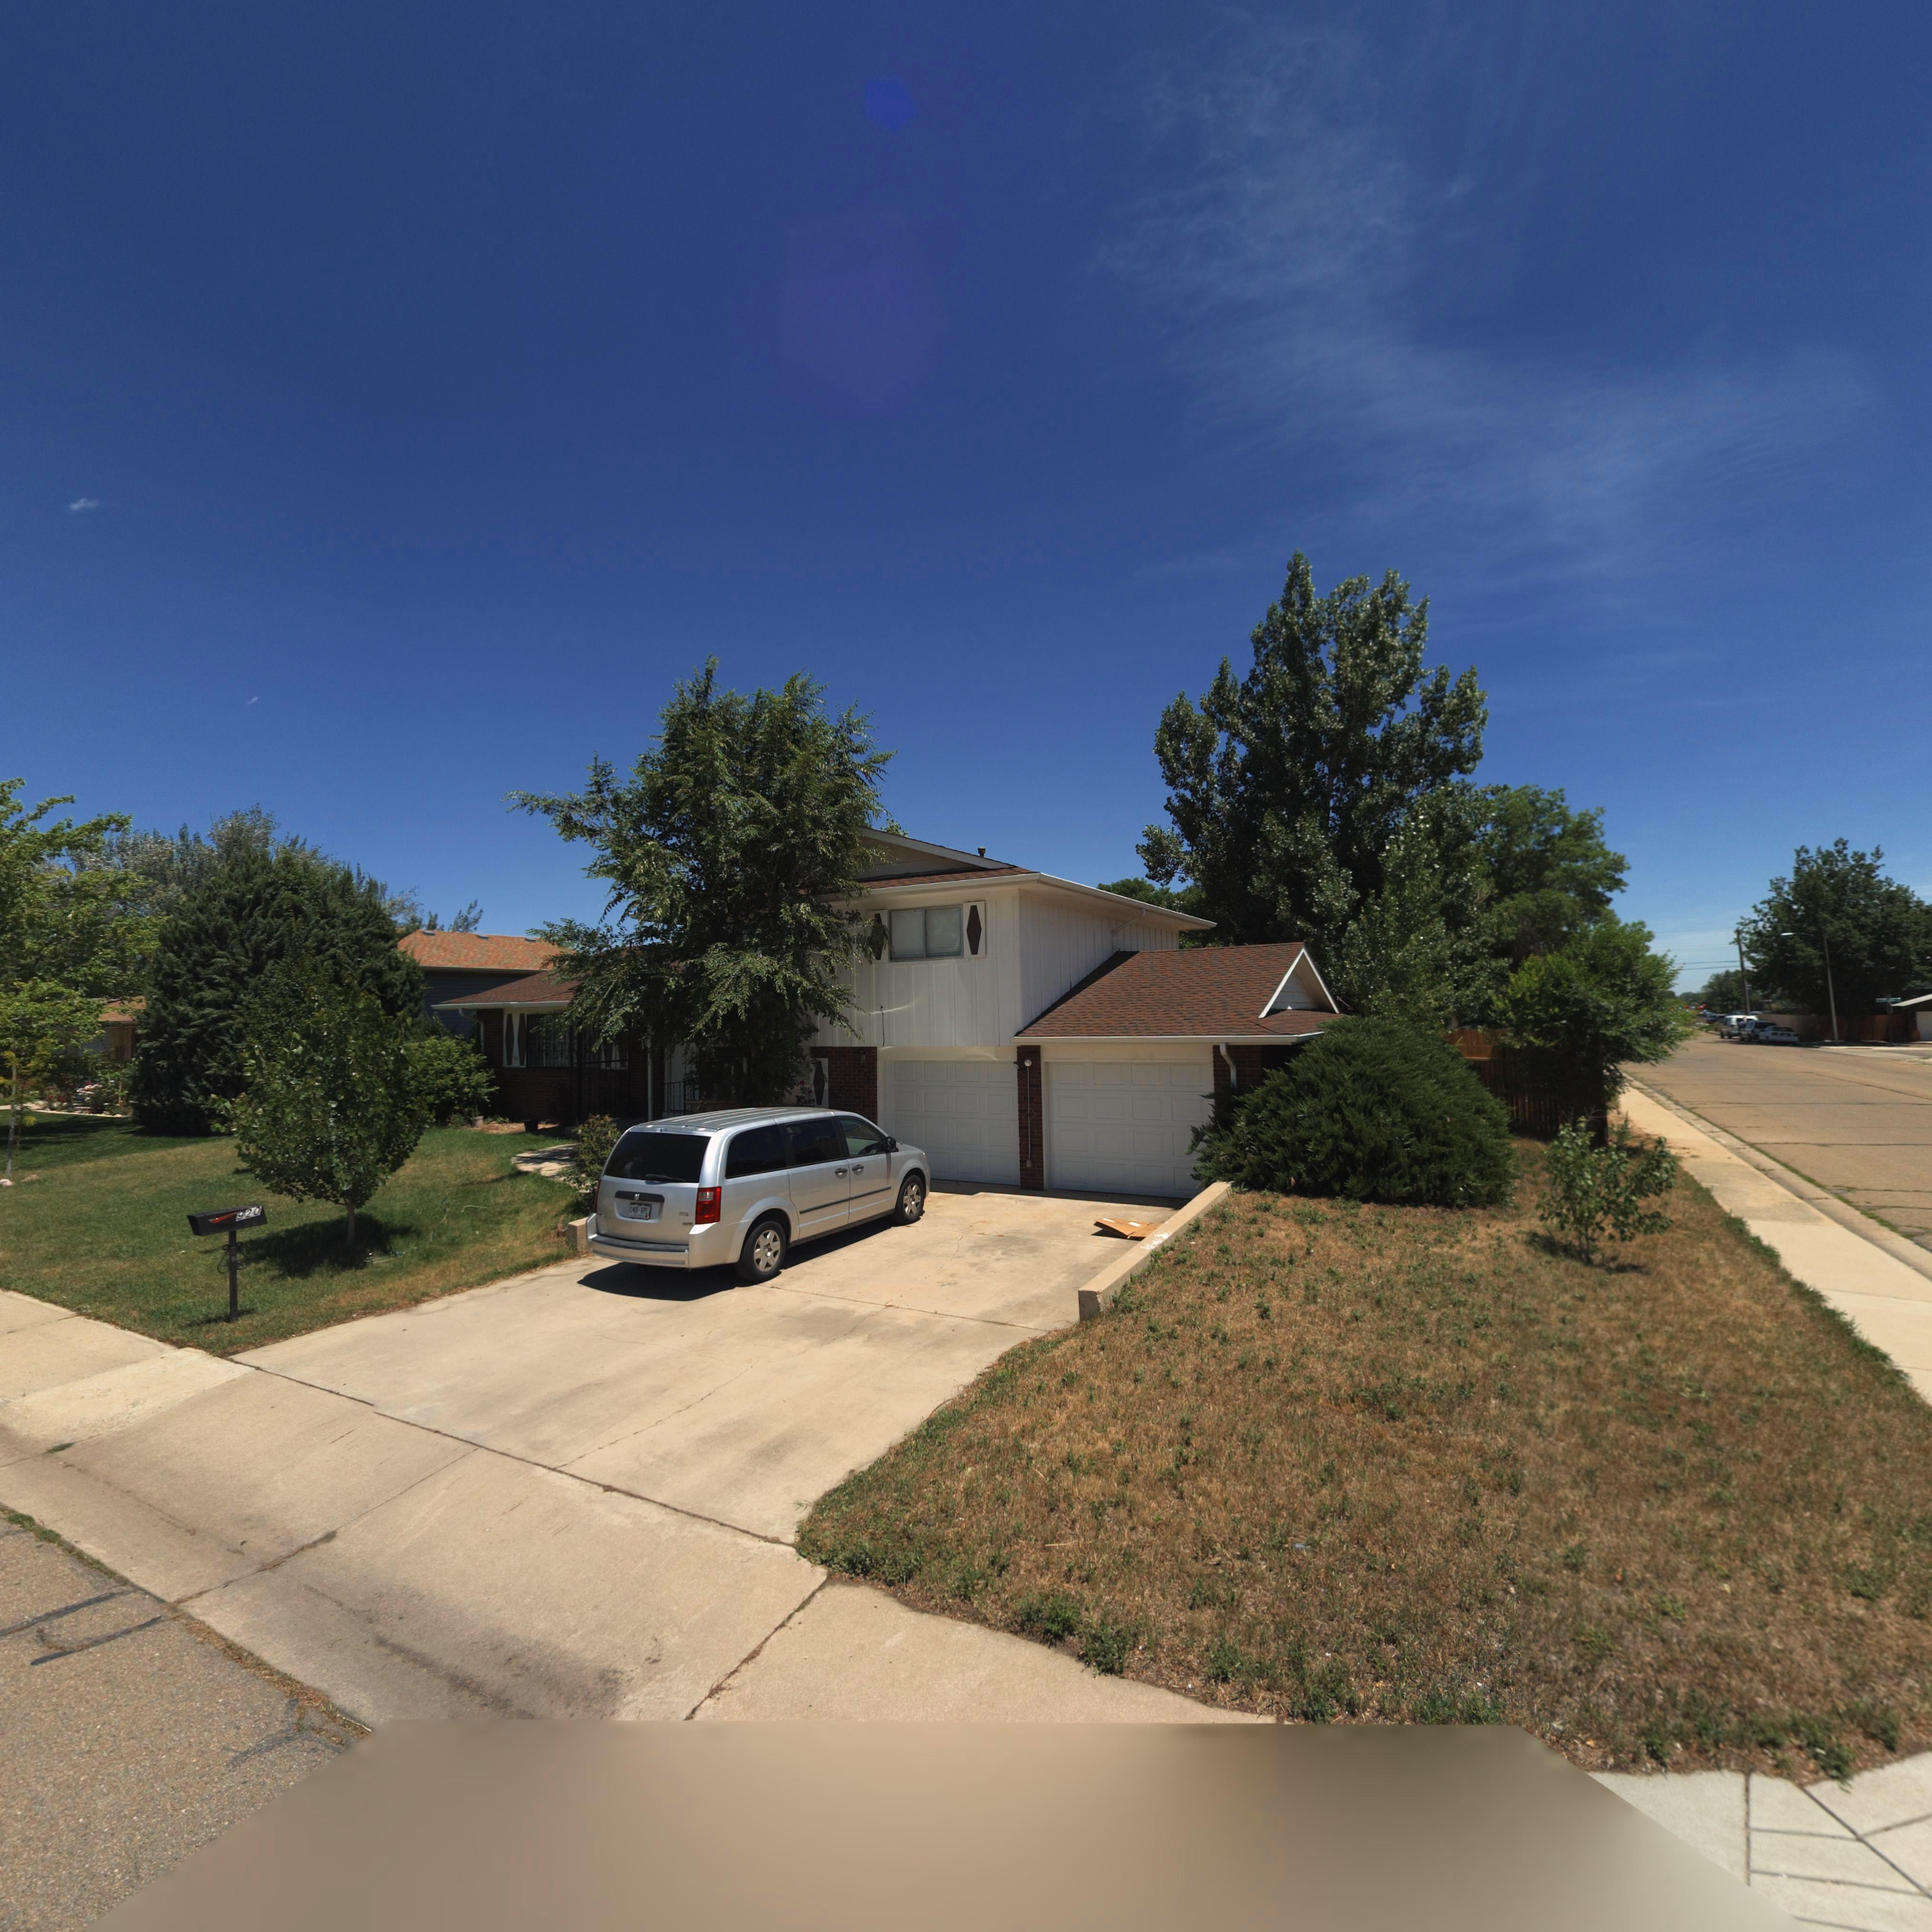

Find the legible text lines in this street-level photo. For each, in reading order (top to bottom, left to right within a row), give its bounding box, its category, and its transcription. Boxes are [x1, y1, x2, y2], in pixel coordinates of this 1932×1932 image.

[236, 1206, 260, 1220] StreetNumber: 920